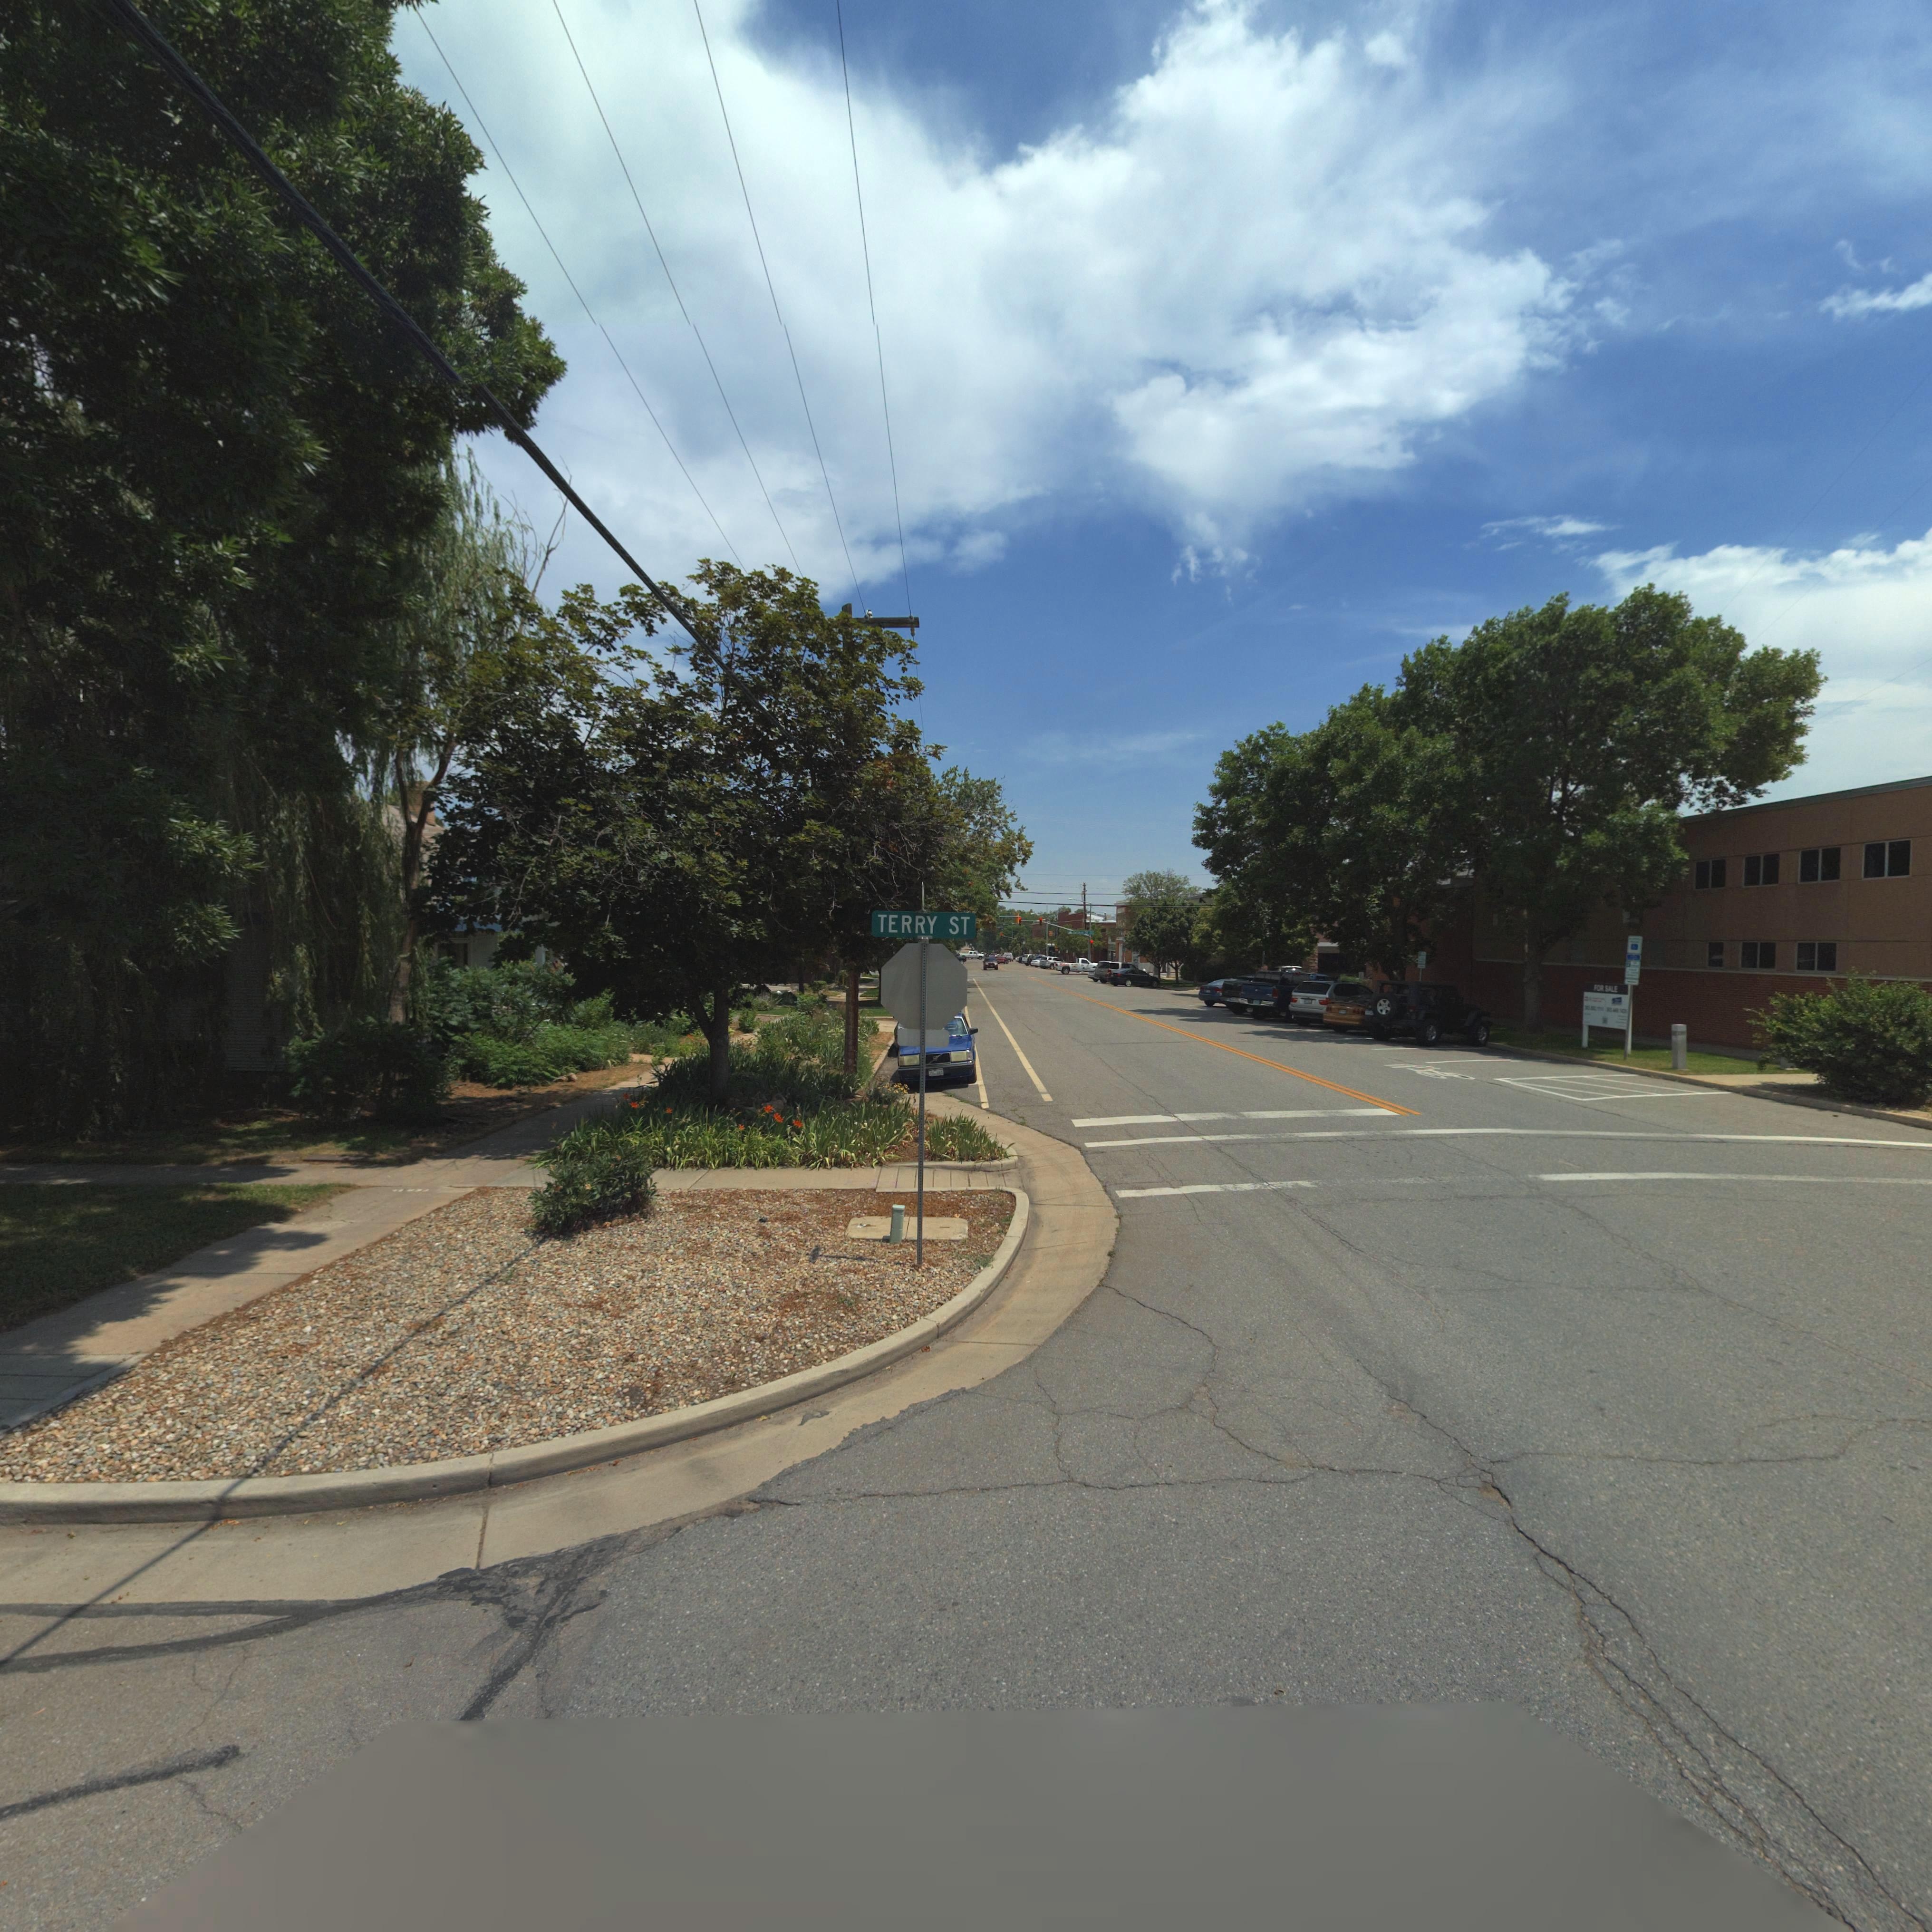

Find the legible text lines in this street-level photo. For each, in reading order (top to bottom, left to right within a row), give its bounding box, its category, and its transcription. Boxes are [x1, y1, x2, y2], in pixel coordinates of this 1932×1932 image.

[877, 914, 970, 935] StreetName: TERRY ST
[1072, 931, 1088, 934] StreetName: C******* ST